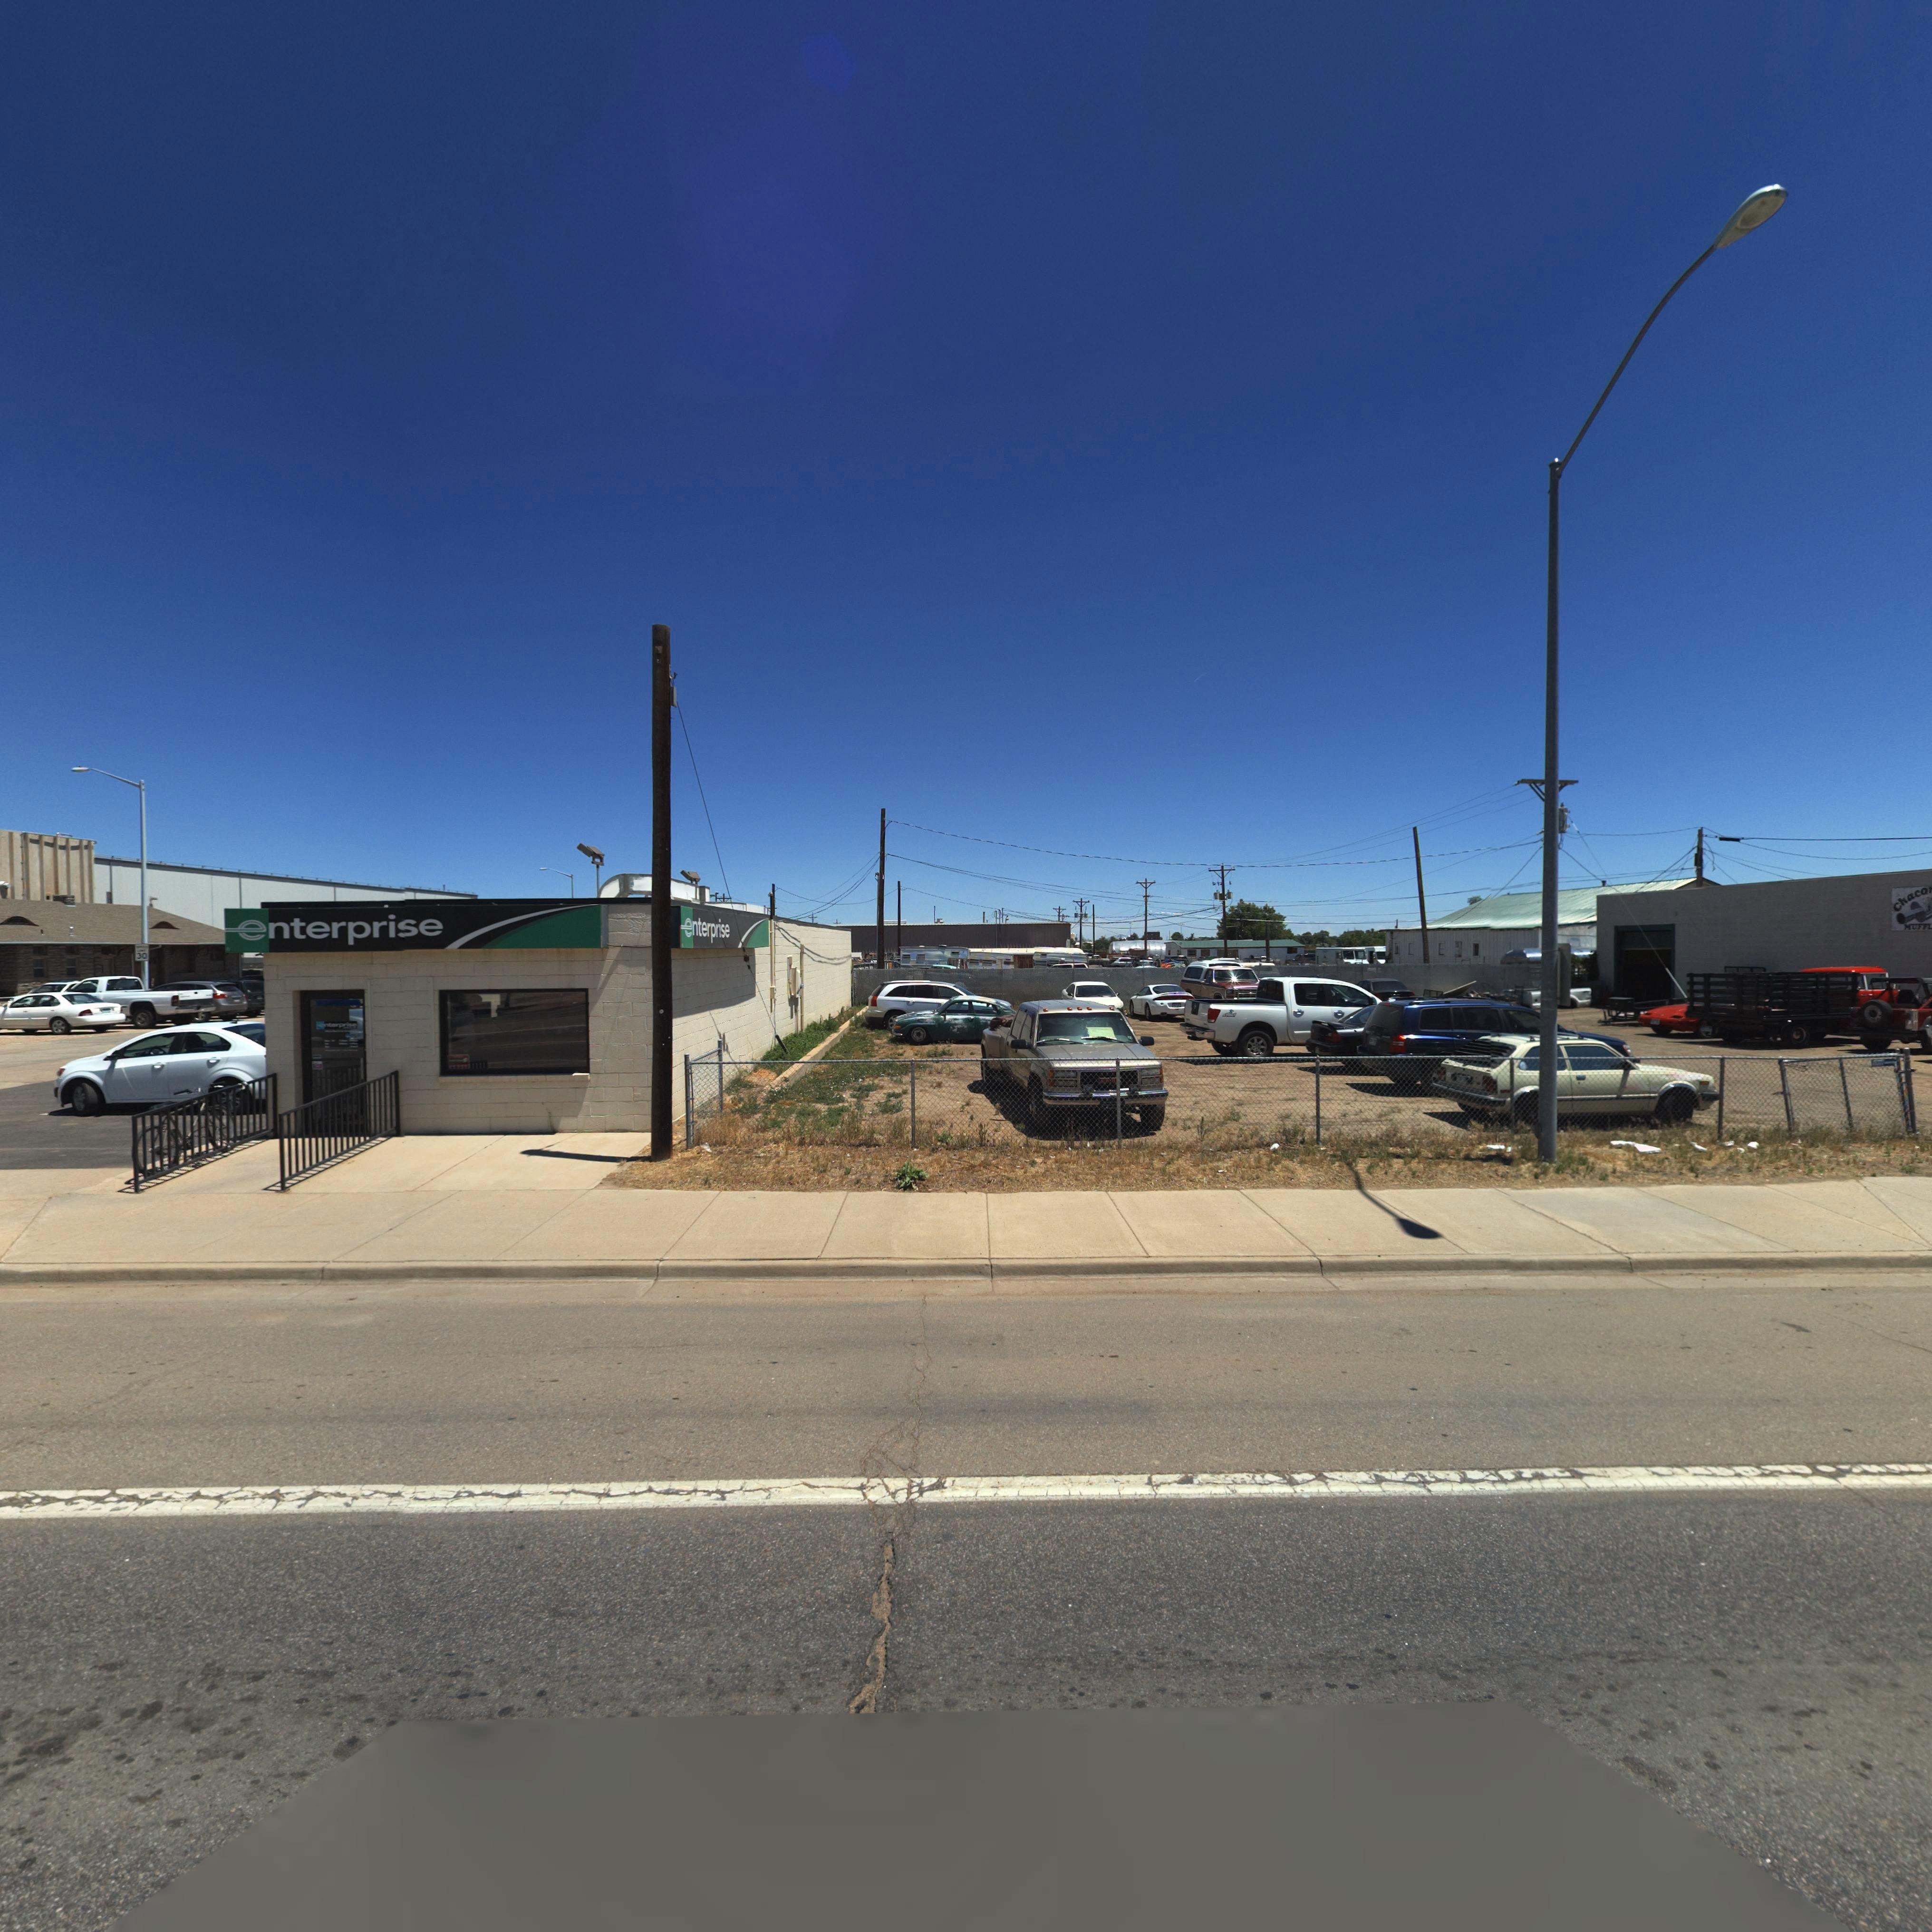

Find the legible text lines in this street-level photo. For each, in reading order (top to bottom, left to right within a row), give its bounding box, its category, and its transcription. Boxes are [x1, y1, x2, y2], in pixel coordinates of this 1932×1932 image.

[1892, 887, 1928, 912] BusinessName: Chaco
[234, 913, 445, 947] BusinessName: enterprise
[683, 917, 731, 943] BusinessName: enterprise
[1903, 923, 1929, 930] BusinessName: MUFF
[318, 1022, 357, 1028] BusinessName: **t*rpri*e